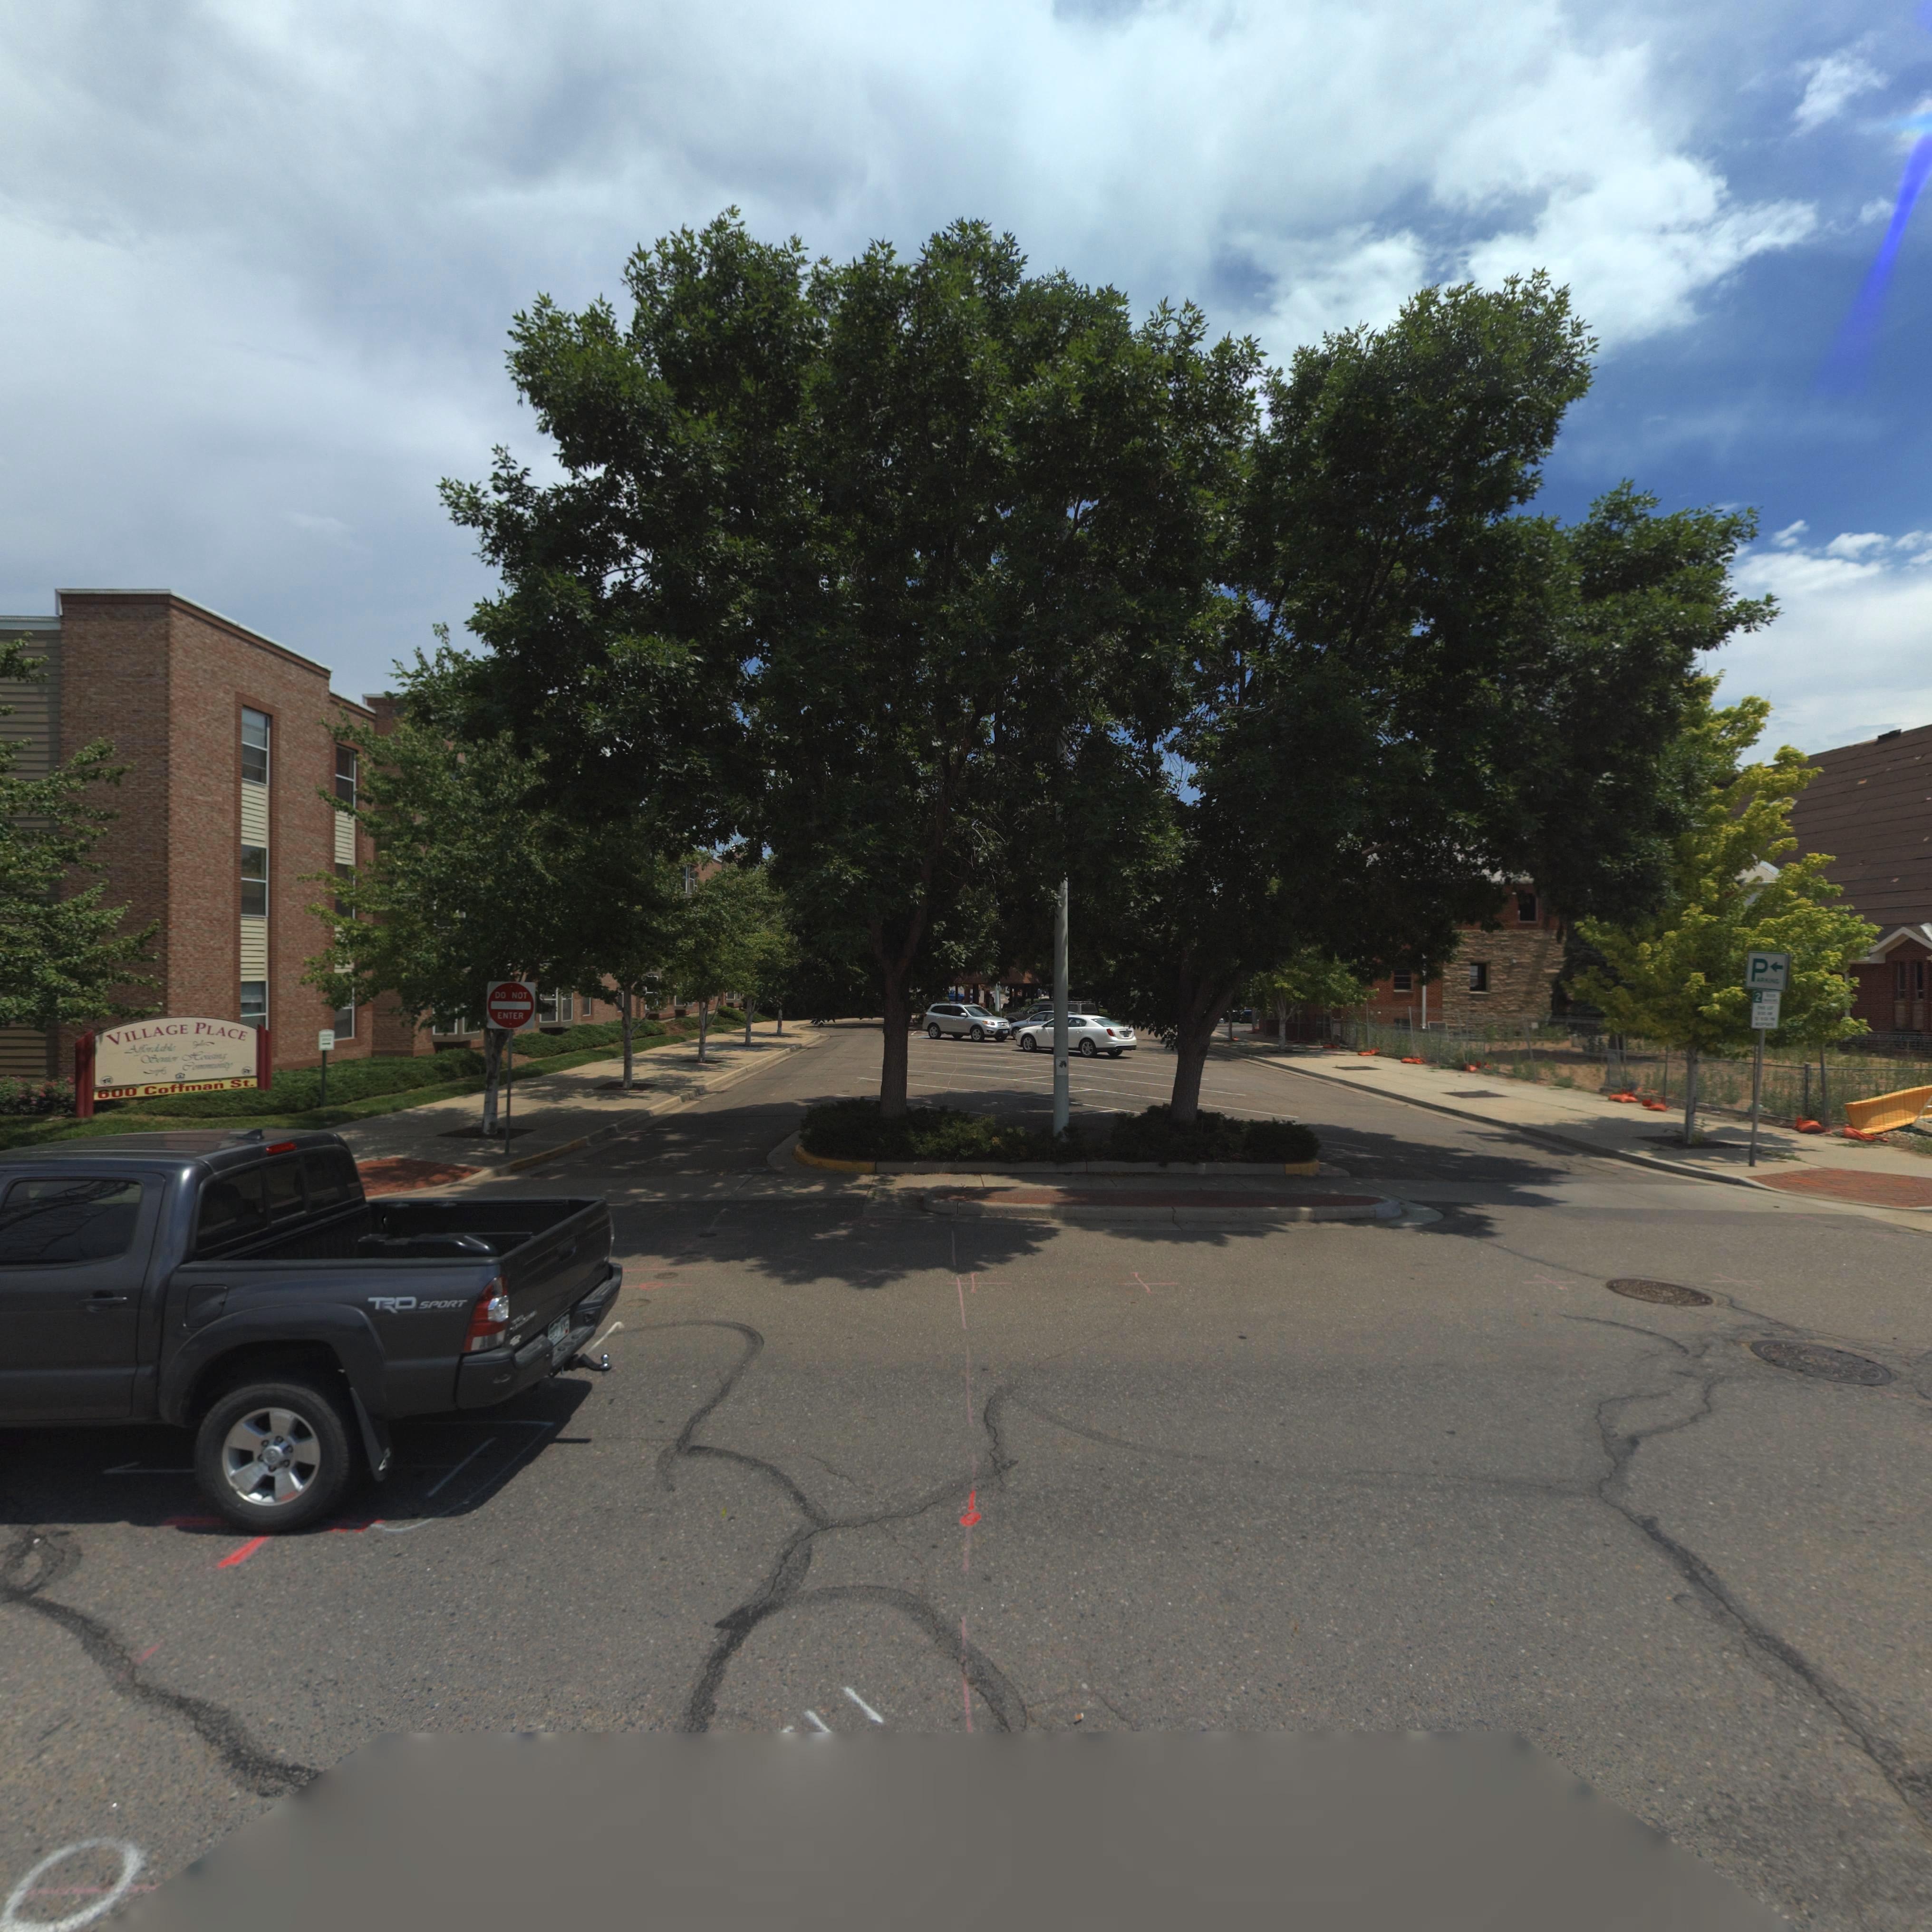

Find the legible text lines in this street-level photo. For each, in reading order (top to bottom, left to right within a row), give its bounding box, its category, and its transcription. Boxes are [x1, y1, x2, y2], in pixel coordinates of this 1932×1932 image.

[105, 1022, 248, 1045] BusinessName: VILLAGE PLACE
[97, 1086, 137, 1099] StreetNumber: 600
[144, 1079, 254, 1095] StreetName: Coffman St.